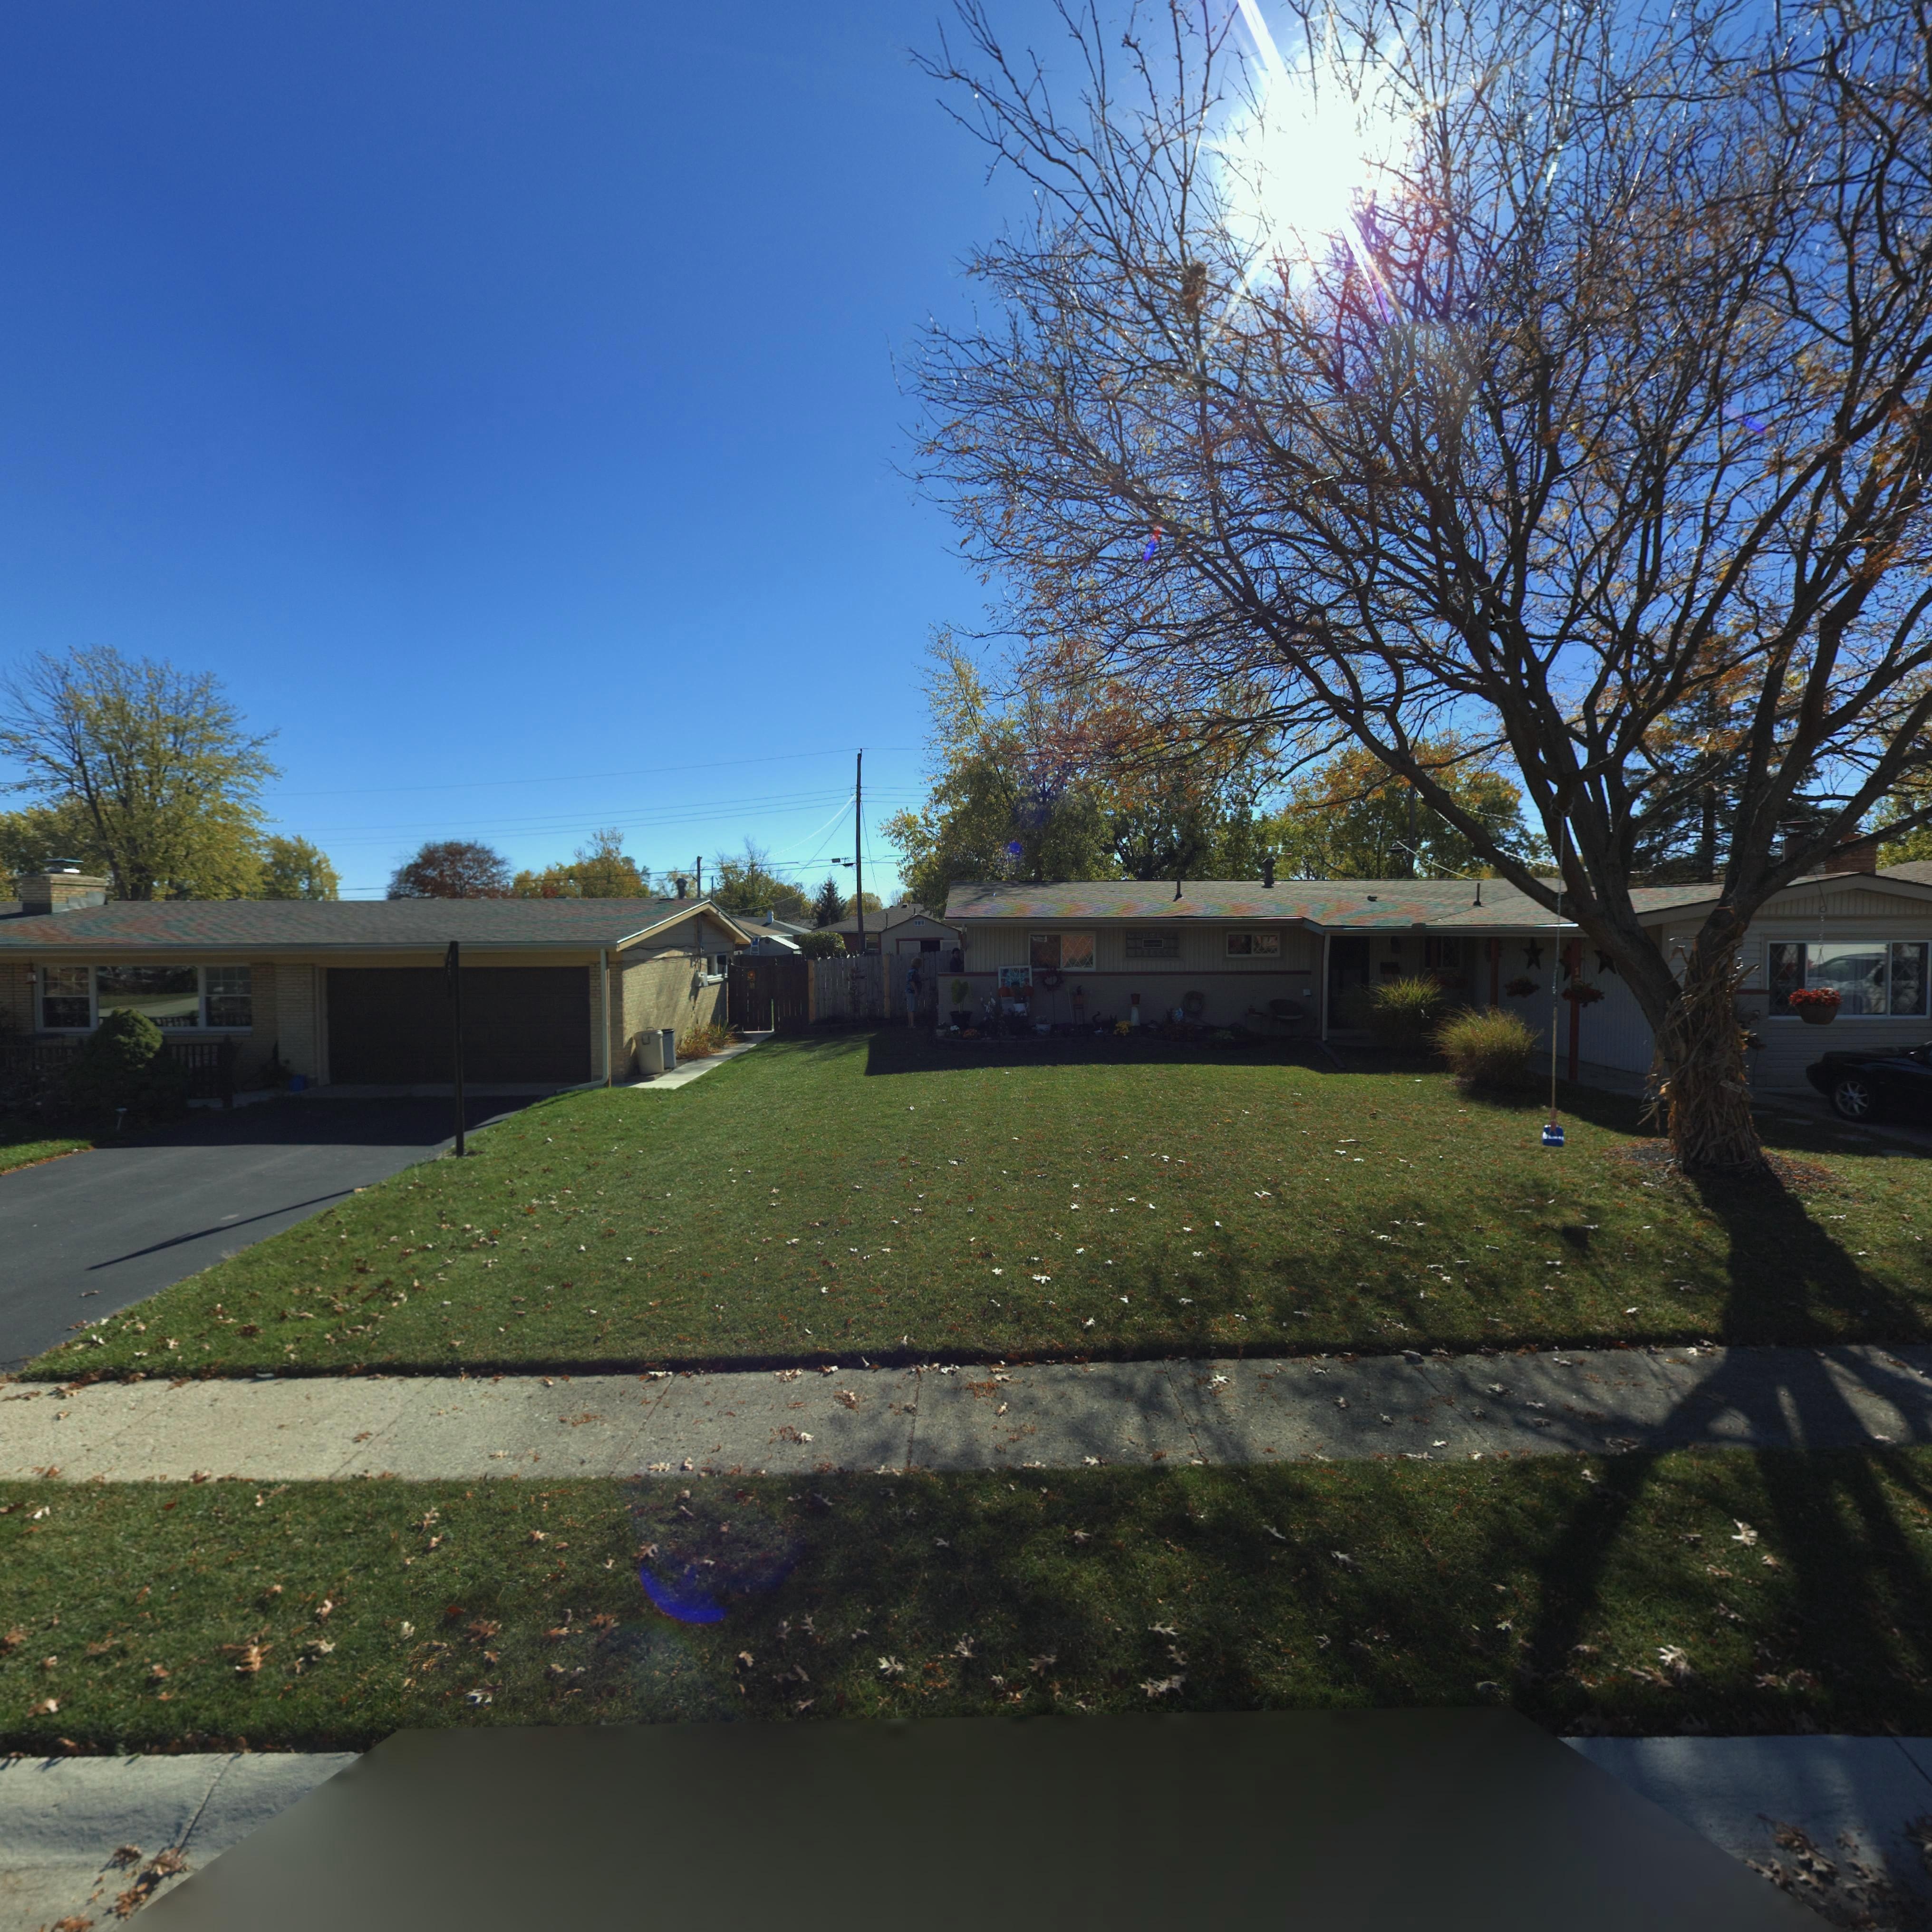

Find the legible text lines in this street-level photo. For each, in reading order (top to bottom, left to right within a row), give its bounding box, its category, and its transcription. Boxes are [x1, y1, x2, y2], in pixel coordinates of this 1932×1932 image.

[1574, 966, 1580, 976] StreetNumber: 1